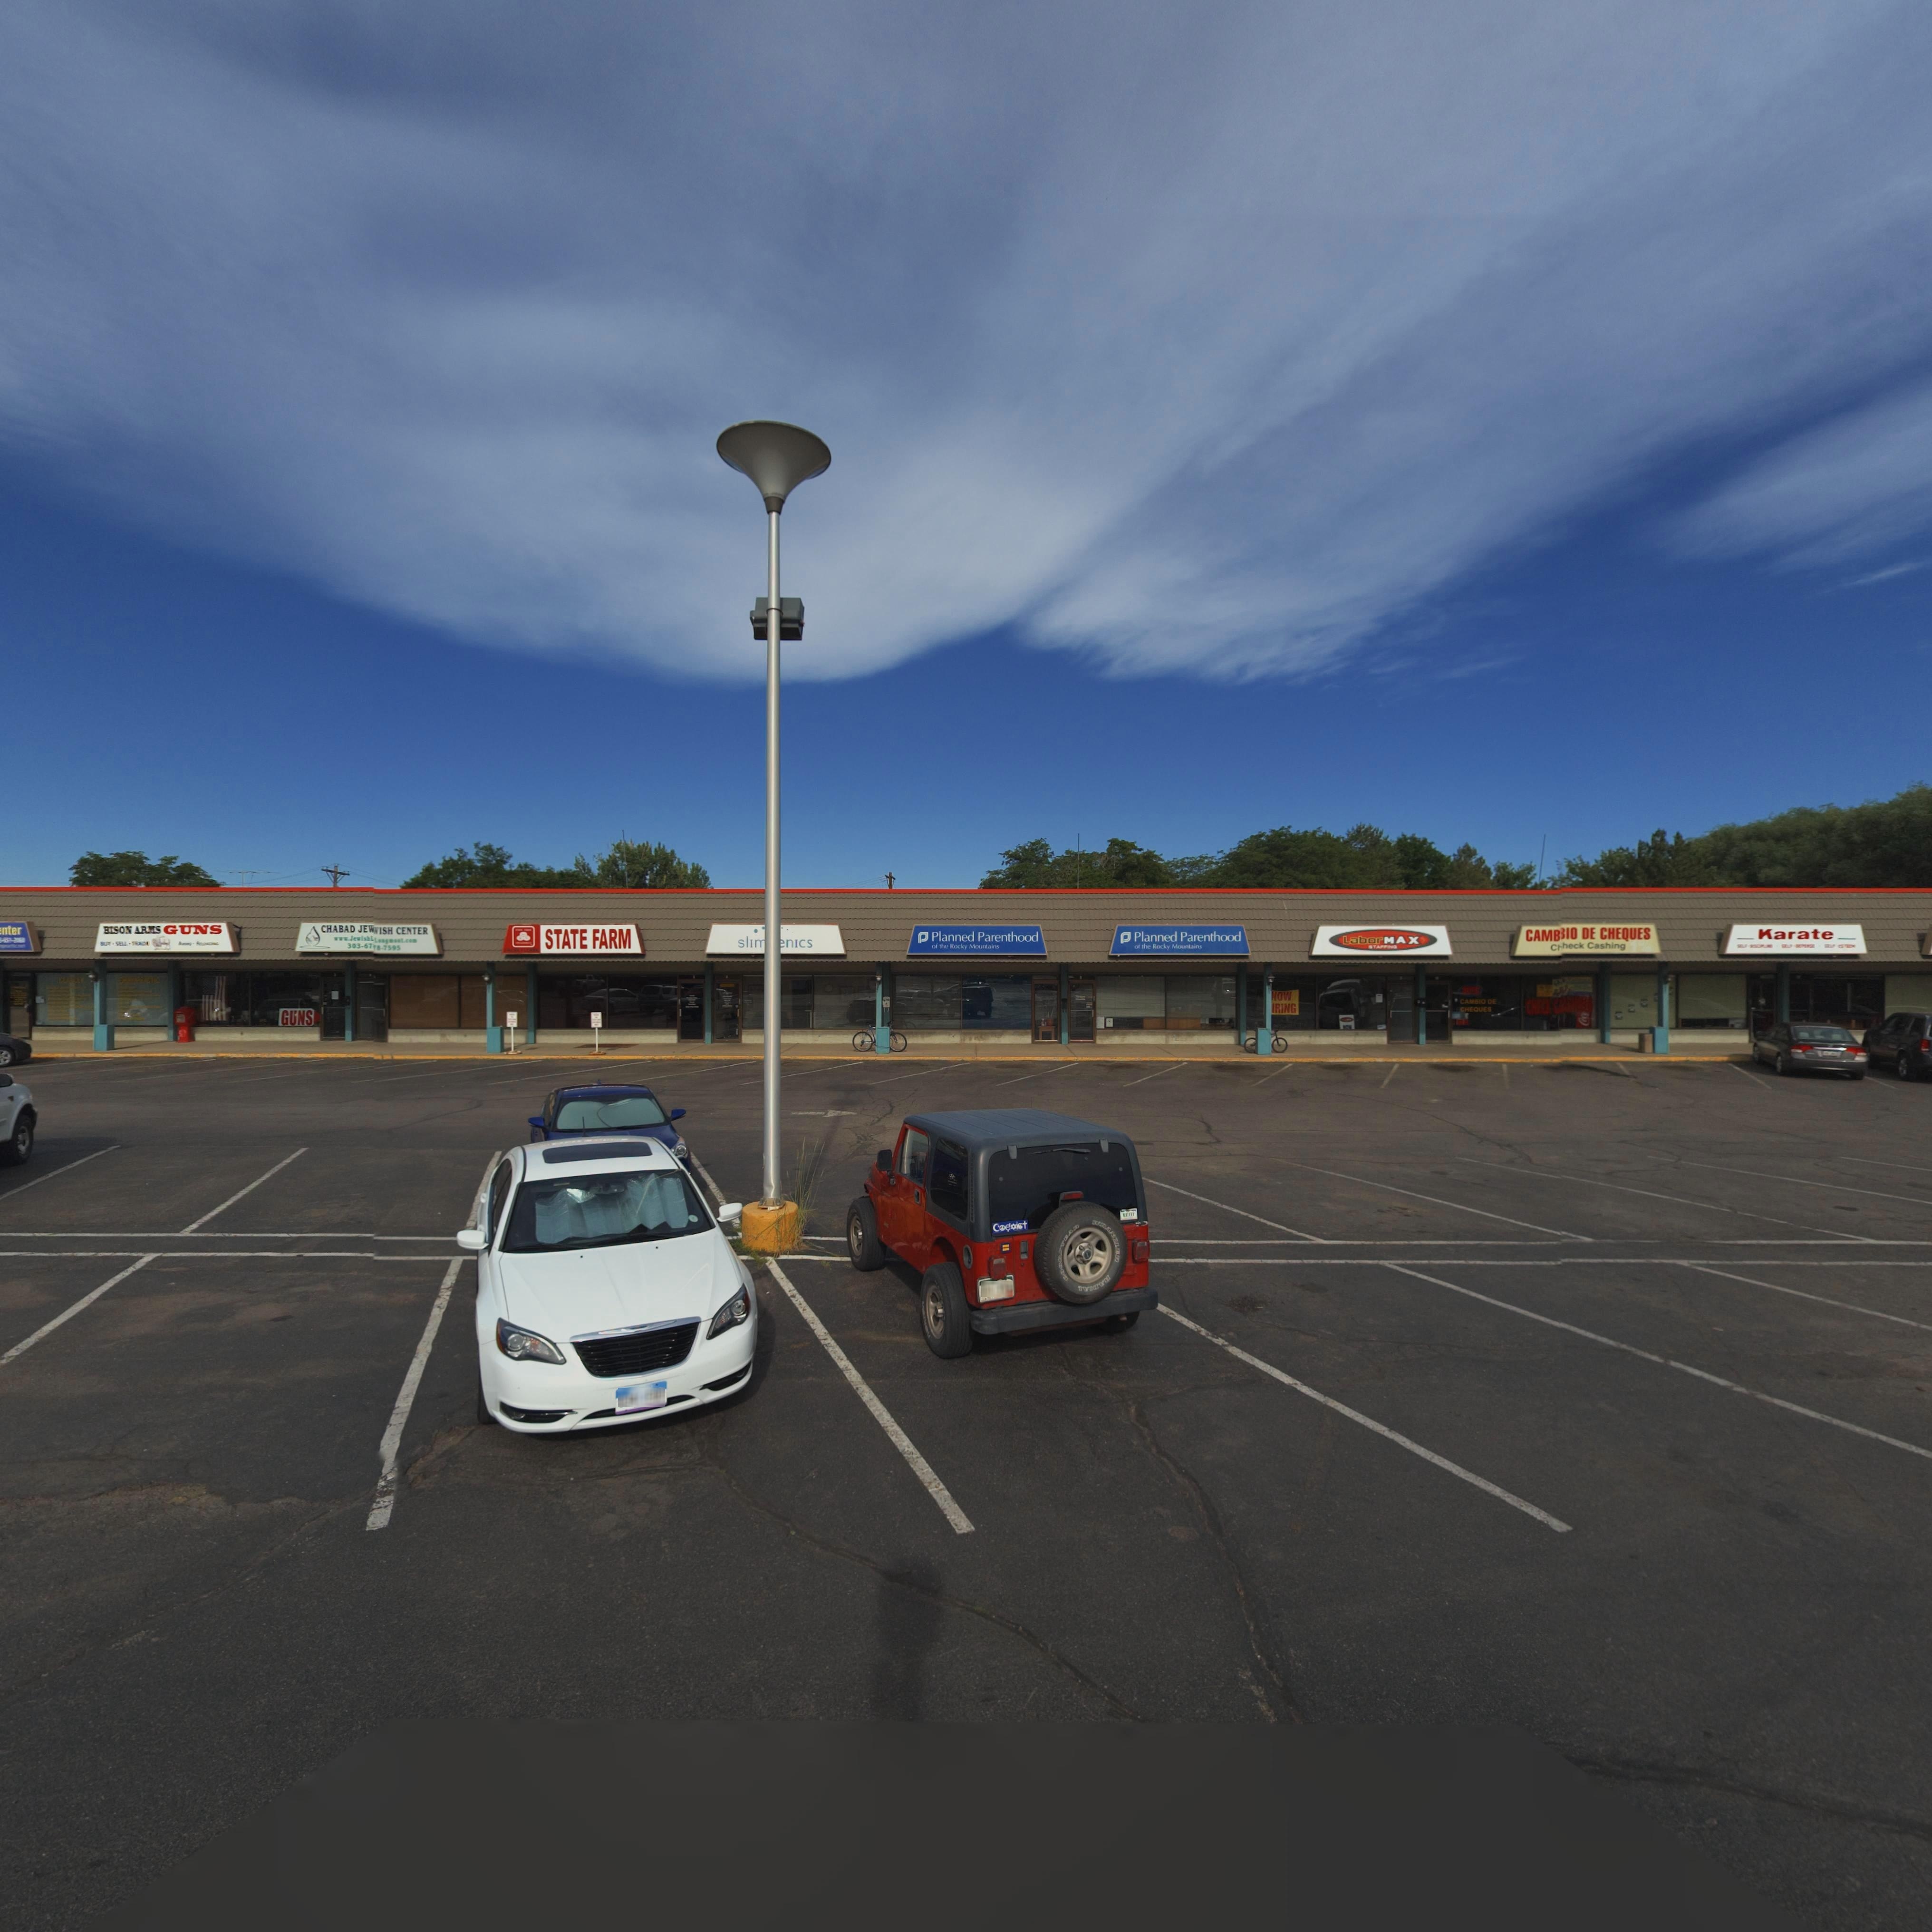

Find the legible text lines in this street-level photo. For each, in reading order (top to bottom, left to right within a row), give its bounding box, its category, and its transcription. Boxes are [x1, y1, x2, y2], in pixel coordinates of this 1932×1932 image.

[102, 924, 223, 935] BusinessName: BISON ARMS GUNS
[319, 924, 428, 935] BusinessName: CHABAD JEW*ISH CENTER
[543, 927, 632, 950] BusinessName: STATE FARM
[737, 934, 813, 948] BusinessName: sli***nics
[931, 930, 1038, 942] BusinessName: Planned Parenthood
[1134, 930, 1241, 942] BusinessName: Planned Parenthood
[1343, 935, 1421, 945] BusinessName: LaborMAX
[1368, 945, 1397, 948] BusinessName: STAFFING
[1459, 998, 1497, 1005] BusinessName: CAMBIO DE
[1460, 1006, 1491, 1012] BusinessName: CHEQUES